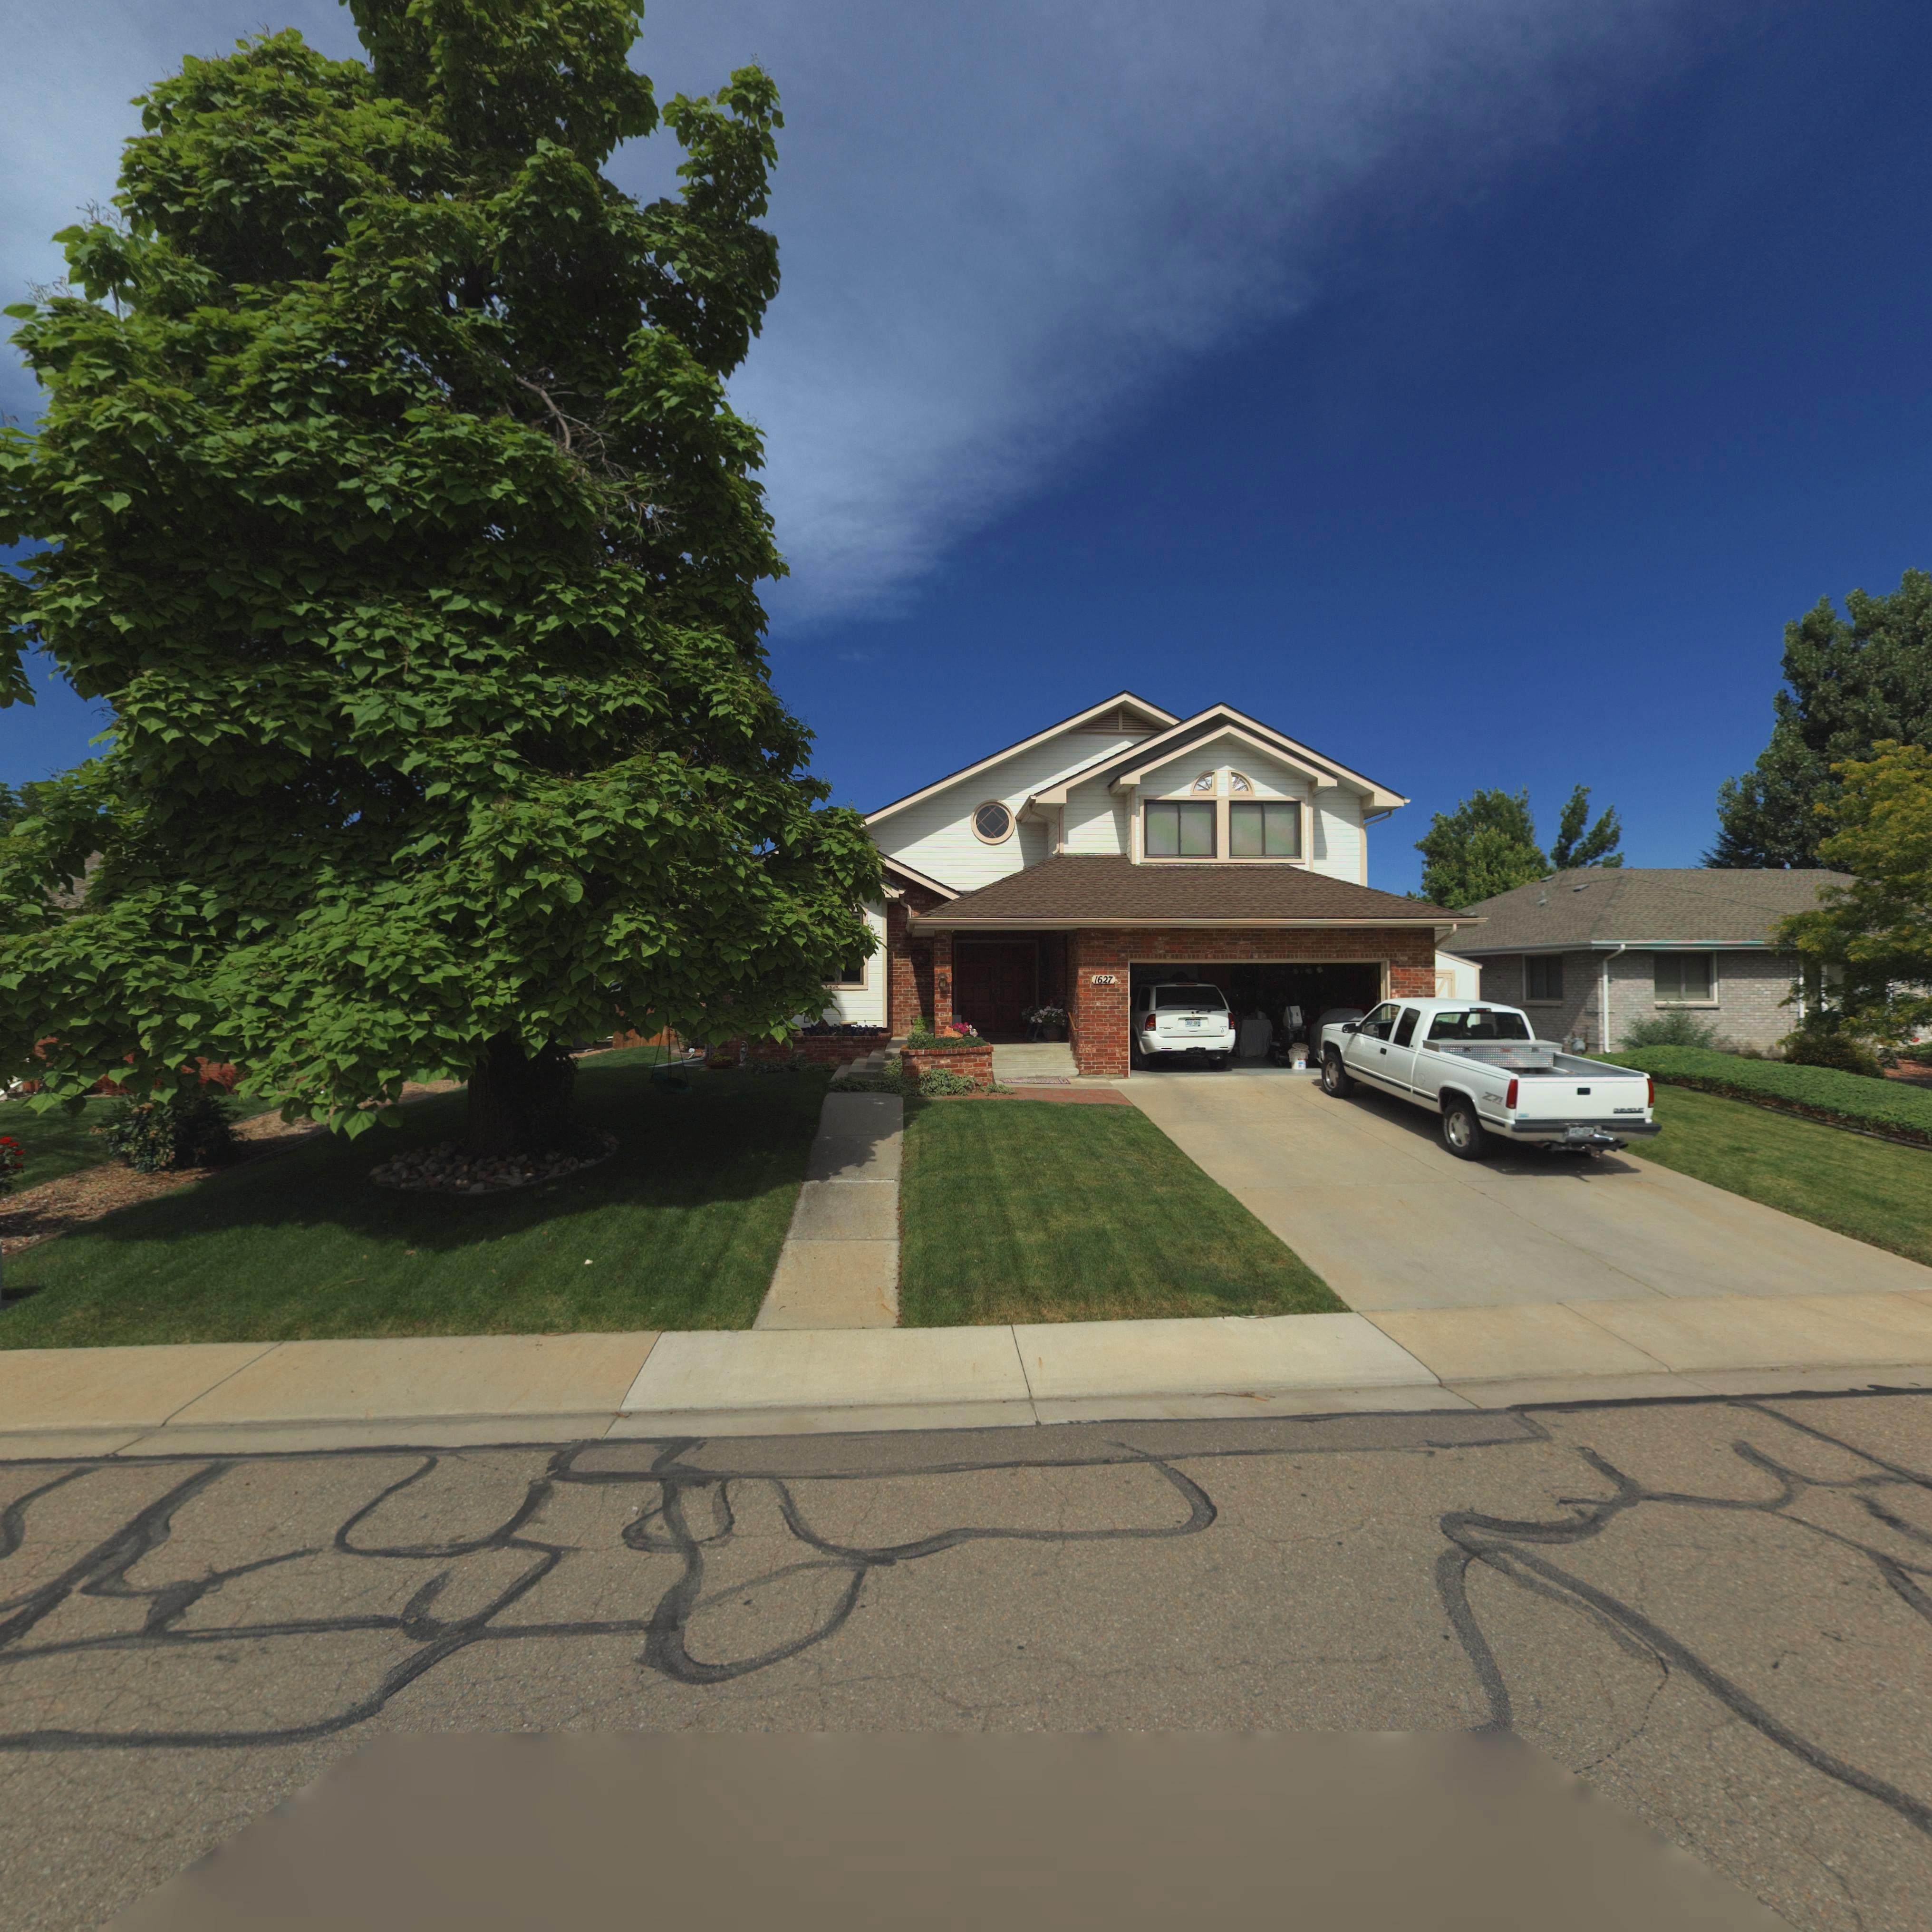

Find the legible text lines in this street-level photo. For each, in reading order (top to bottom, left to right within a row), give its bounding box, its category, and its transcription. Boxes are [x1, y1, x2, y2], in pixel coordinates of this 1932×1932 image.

[1093, 976, 1113, 984] StreetNumber: 1627